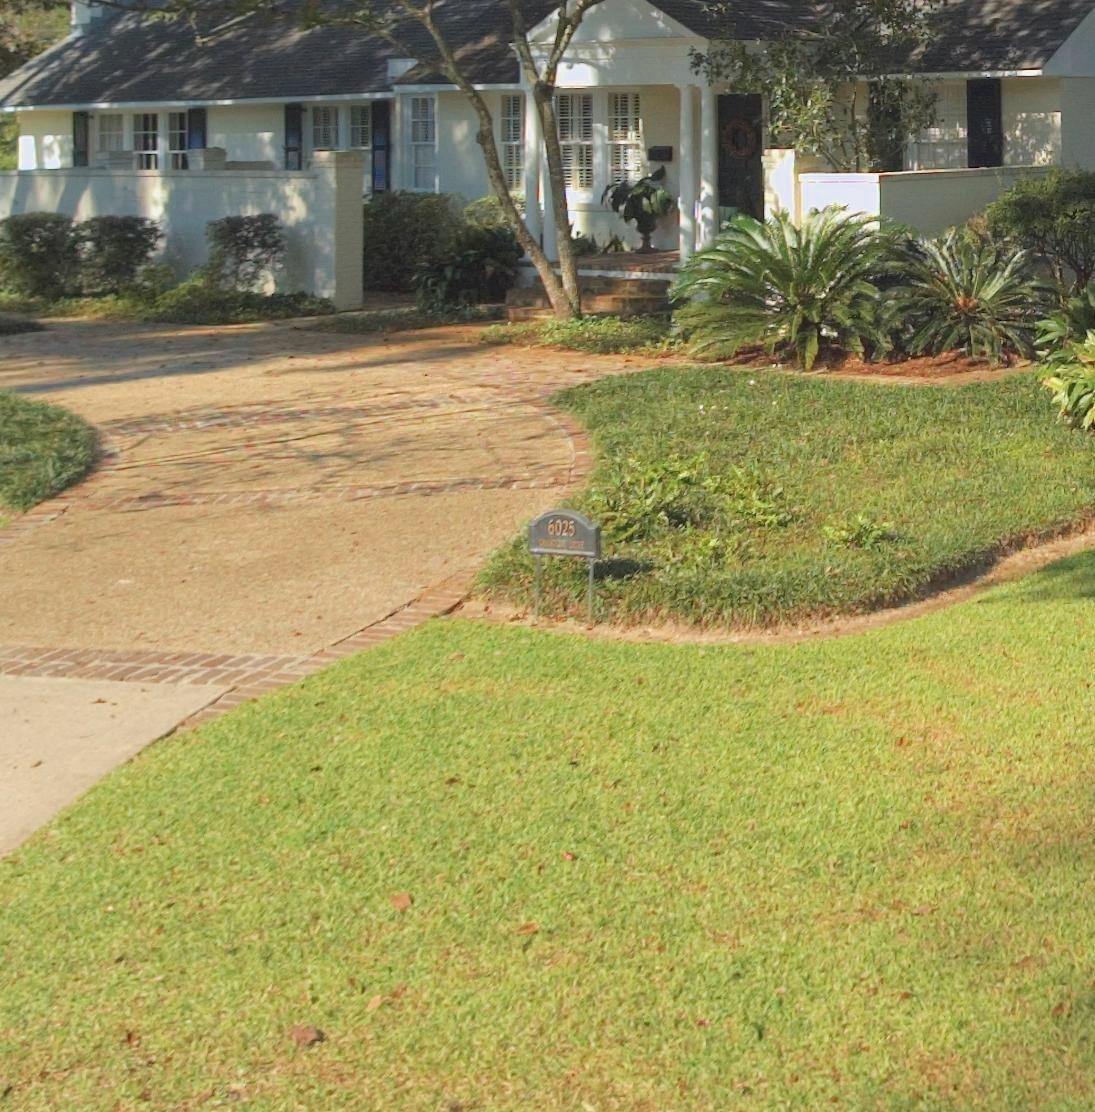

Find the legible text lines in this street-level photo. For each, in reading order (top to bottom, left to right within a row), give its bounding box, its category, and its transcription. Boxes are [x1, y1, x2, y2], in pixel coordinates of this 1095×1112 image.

[546, 519, 576, 537] StreetNumber: 6025